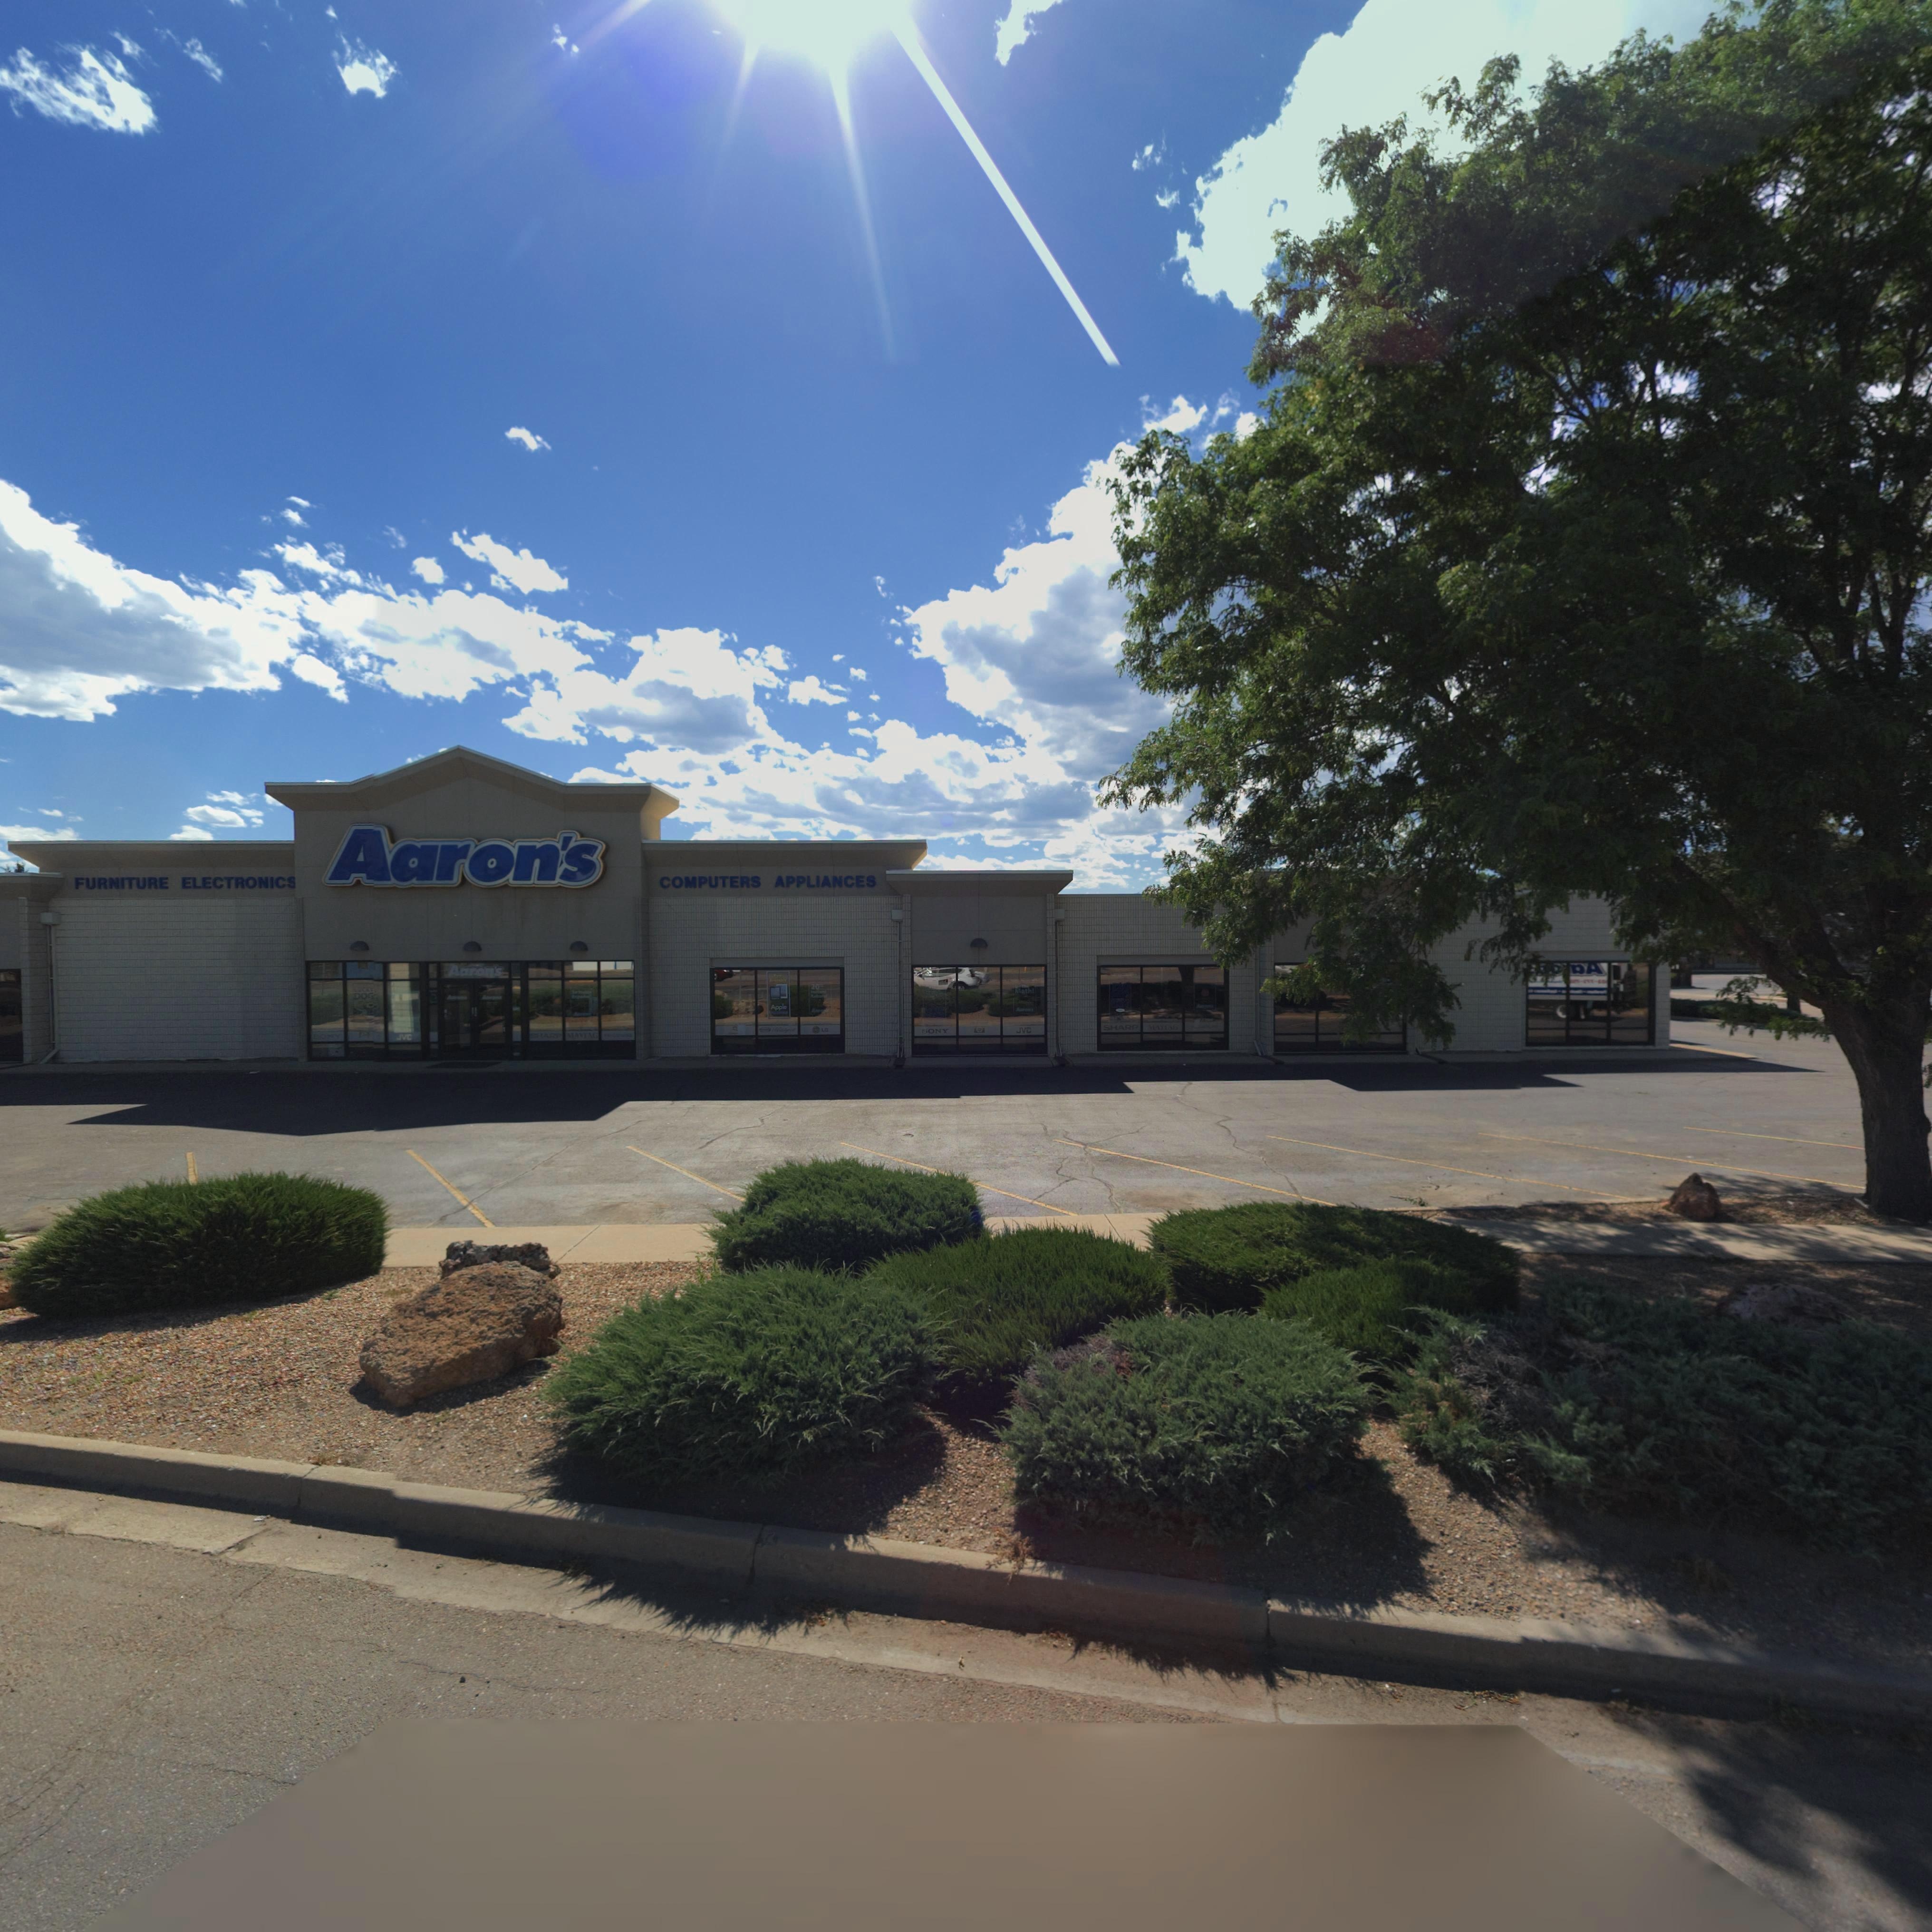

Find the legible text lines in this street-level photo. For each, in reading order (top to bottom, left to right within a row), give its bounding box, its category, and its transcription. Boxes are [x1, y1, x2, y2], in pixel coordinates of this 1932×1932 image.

[325, 826, 600, 883] BusinessName: Aaron's
[446, 964, 503, 977] BusinessName: Aaron's
[1015, 1007, 1020, 1012] BusinessName: A